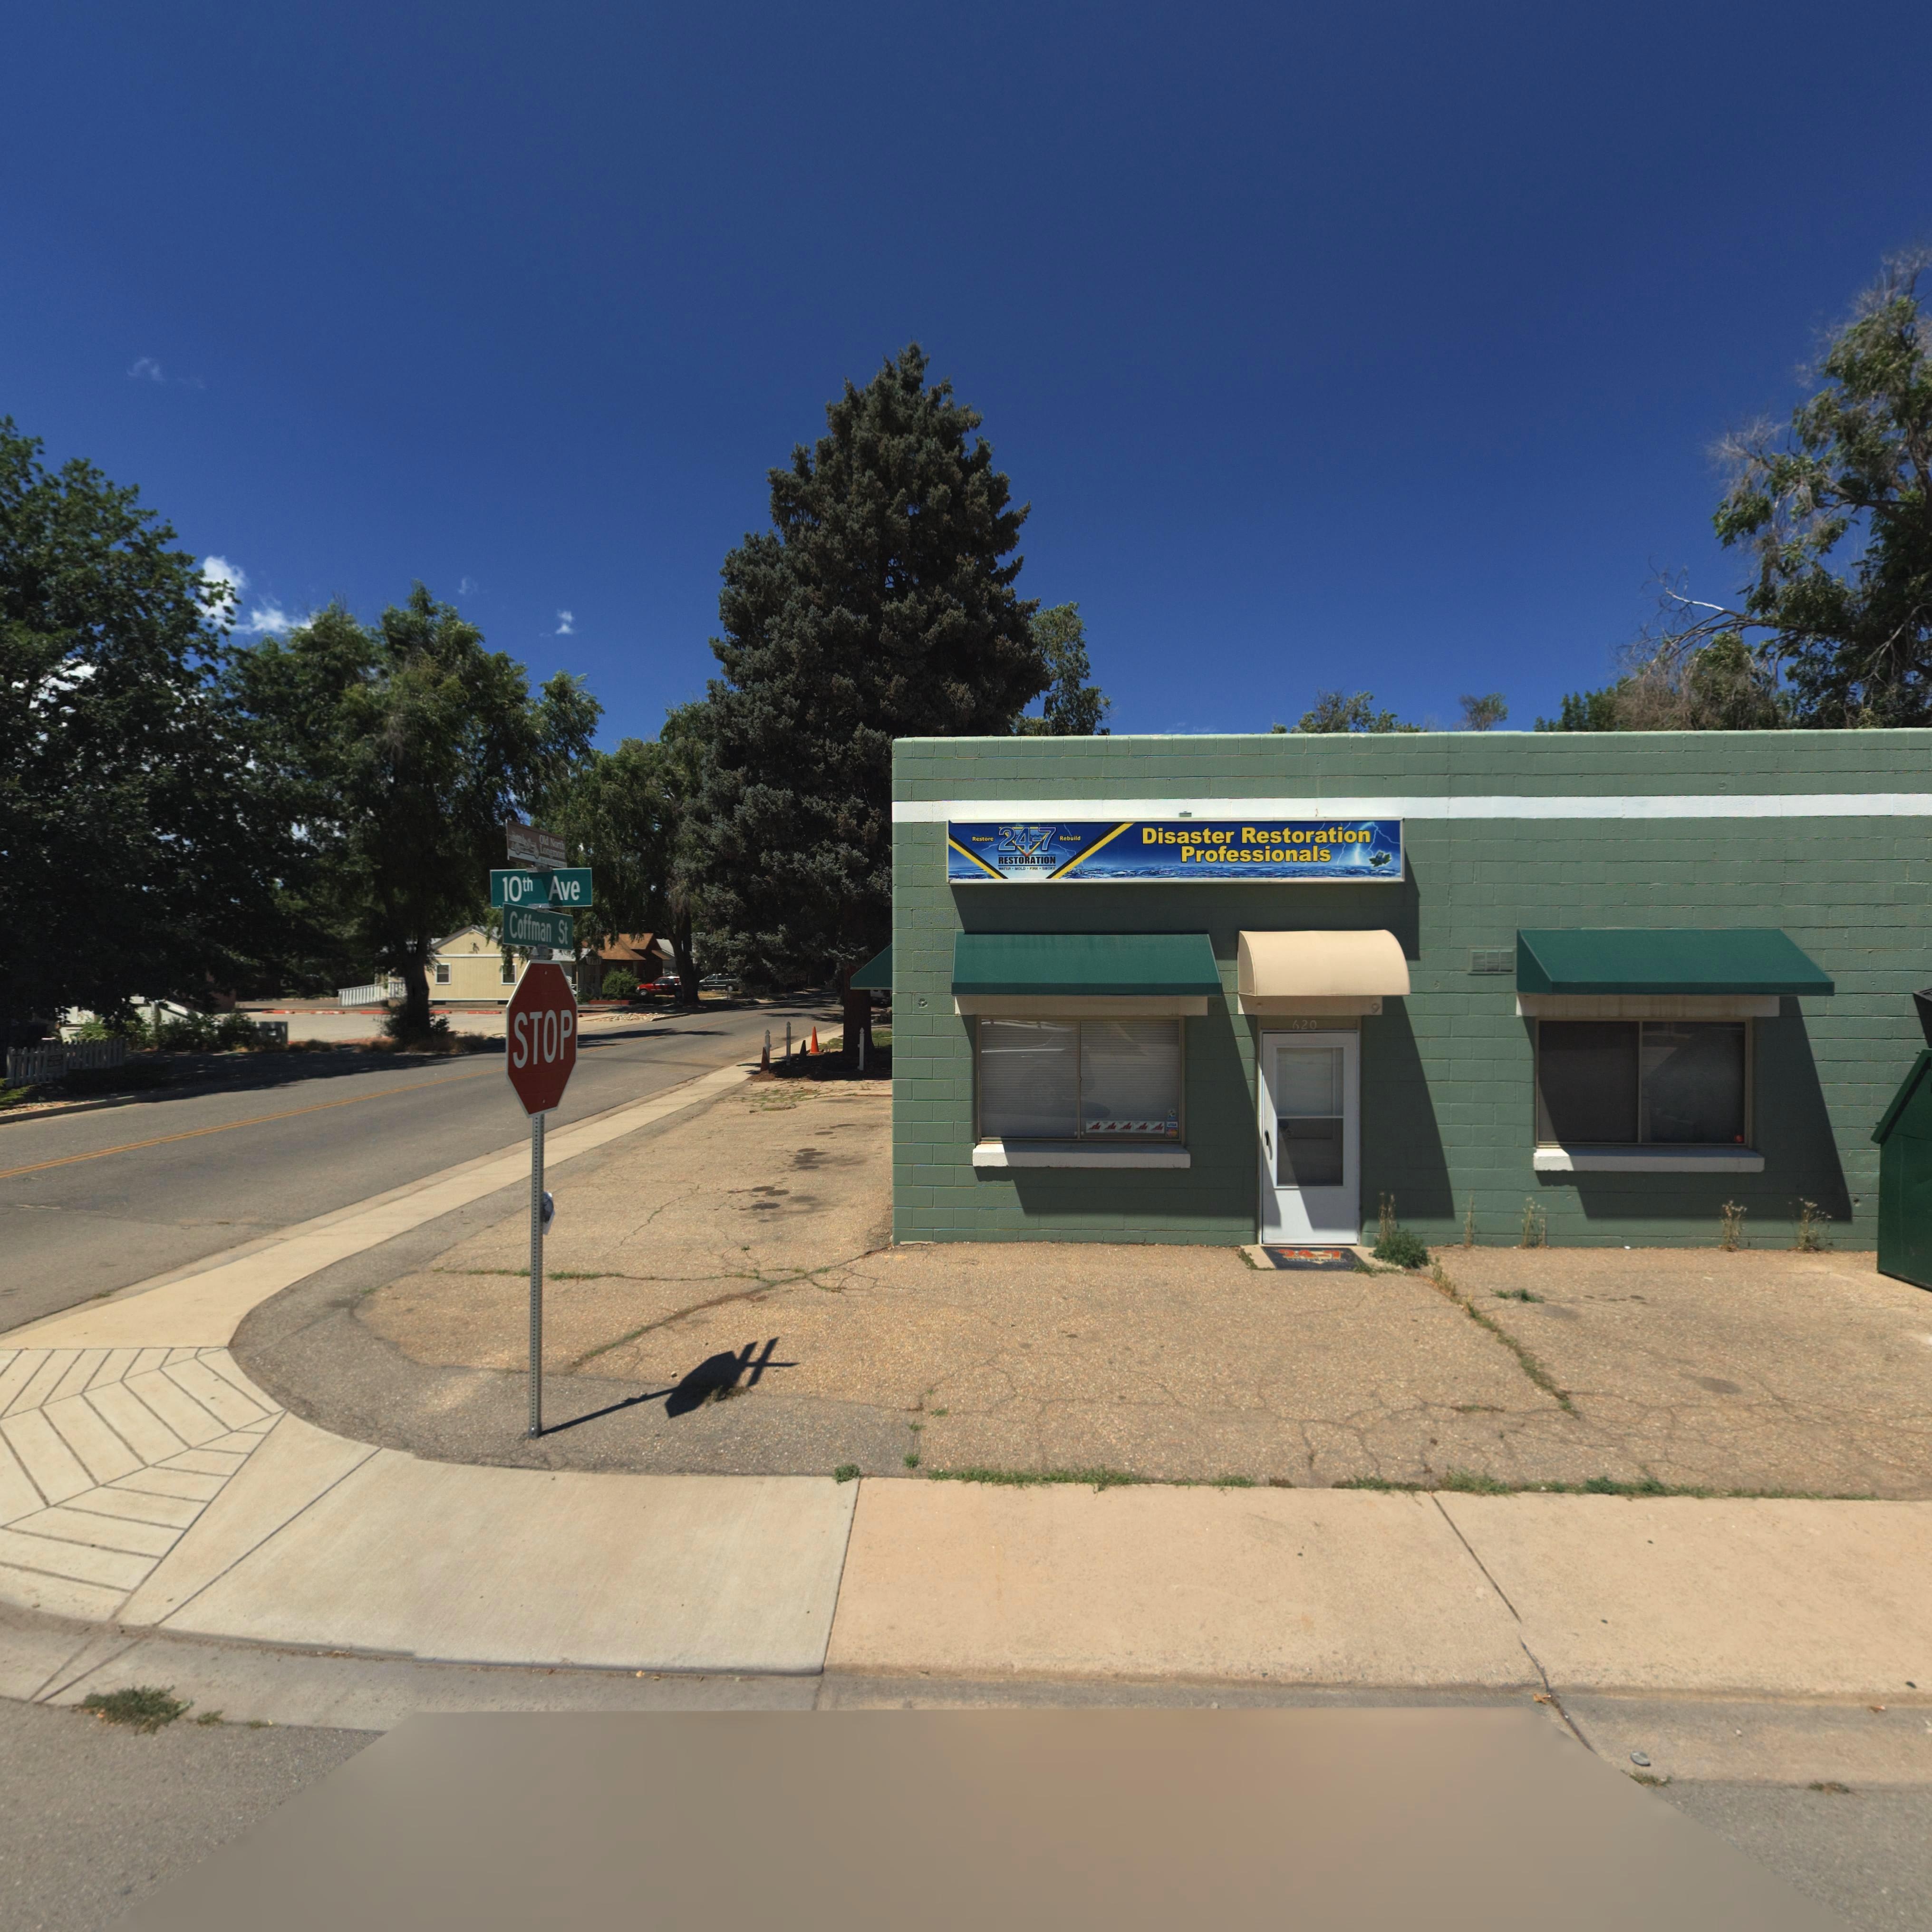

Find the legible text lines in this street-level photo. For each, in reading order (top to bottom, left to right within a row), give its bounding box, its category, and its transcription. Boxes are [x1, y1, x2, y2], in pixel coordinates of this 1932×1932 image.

[997, 826, 1056, 850] BusinessName: 24-7
[998, 856, 1055, 864] BusinessName: RESTORATION
[502, 875, 581, 902] StreetName: 10th Ave
[509, 910, 568, 945] BusinessName: Coffman St
[1292, 1019, 1317, 1031] StreetNumber: 620